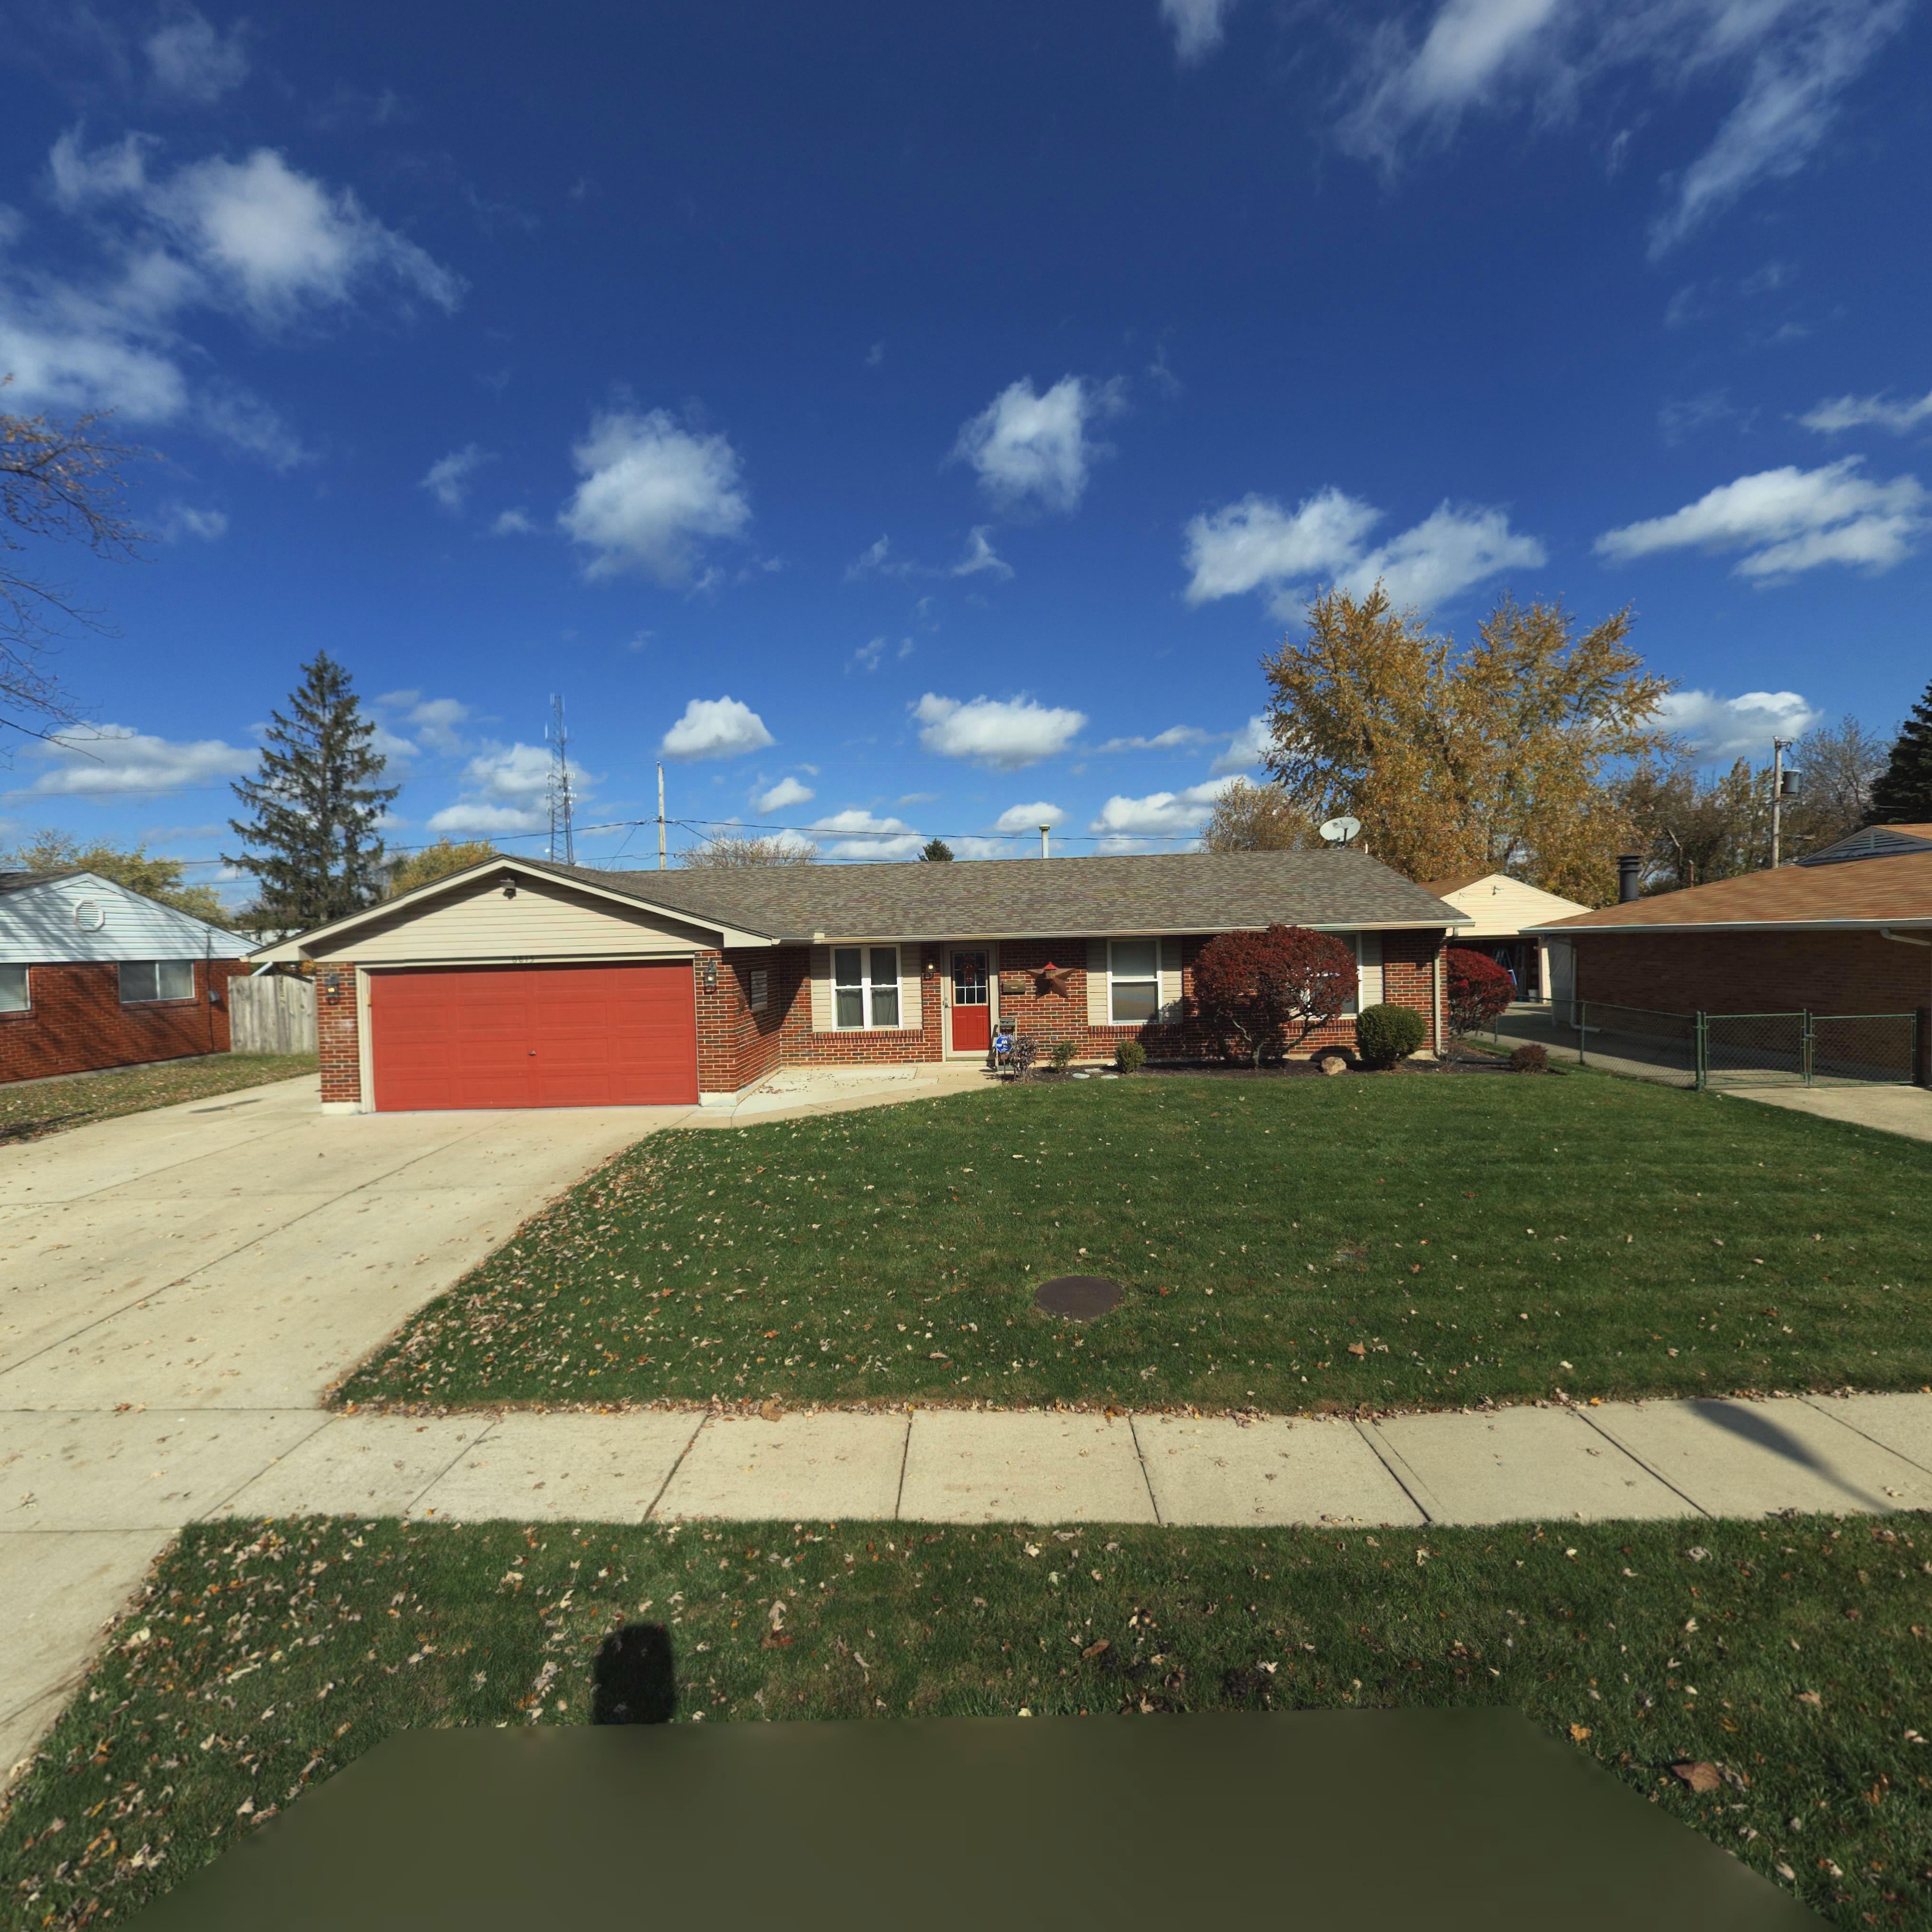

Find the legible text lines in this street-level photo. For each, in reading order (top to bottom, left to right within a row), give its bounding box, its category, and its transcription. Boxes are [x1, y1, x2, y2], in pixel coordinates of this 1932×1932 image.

[511, 955, 535, 964] StreetNumber: 6815